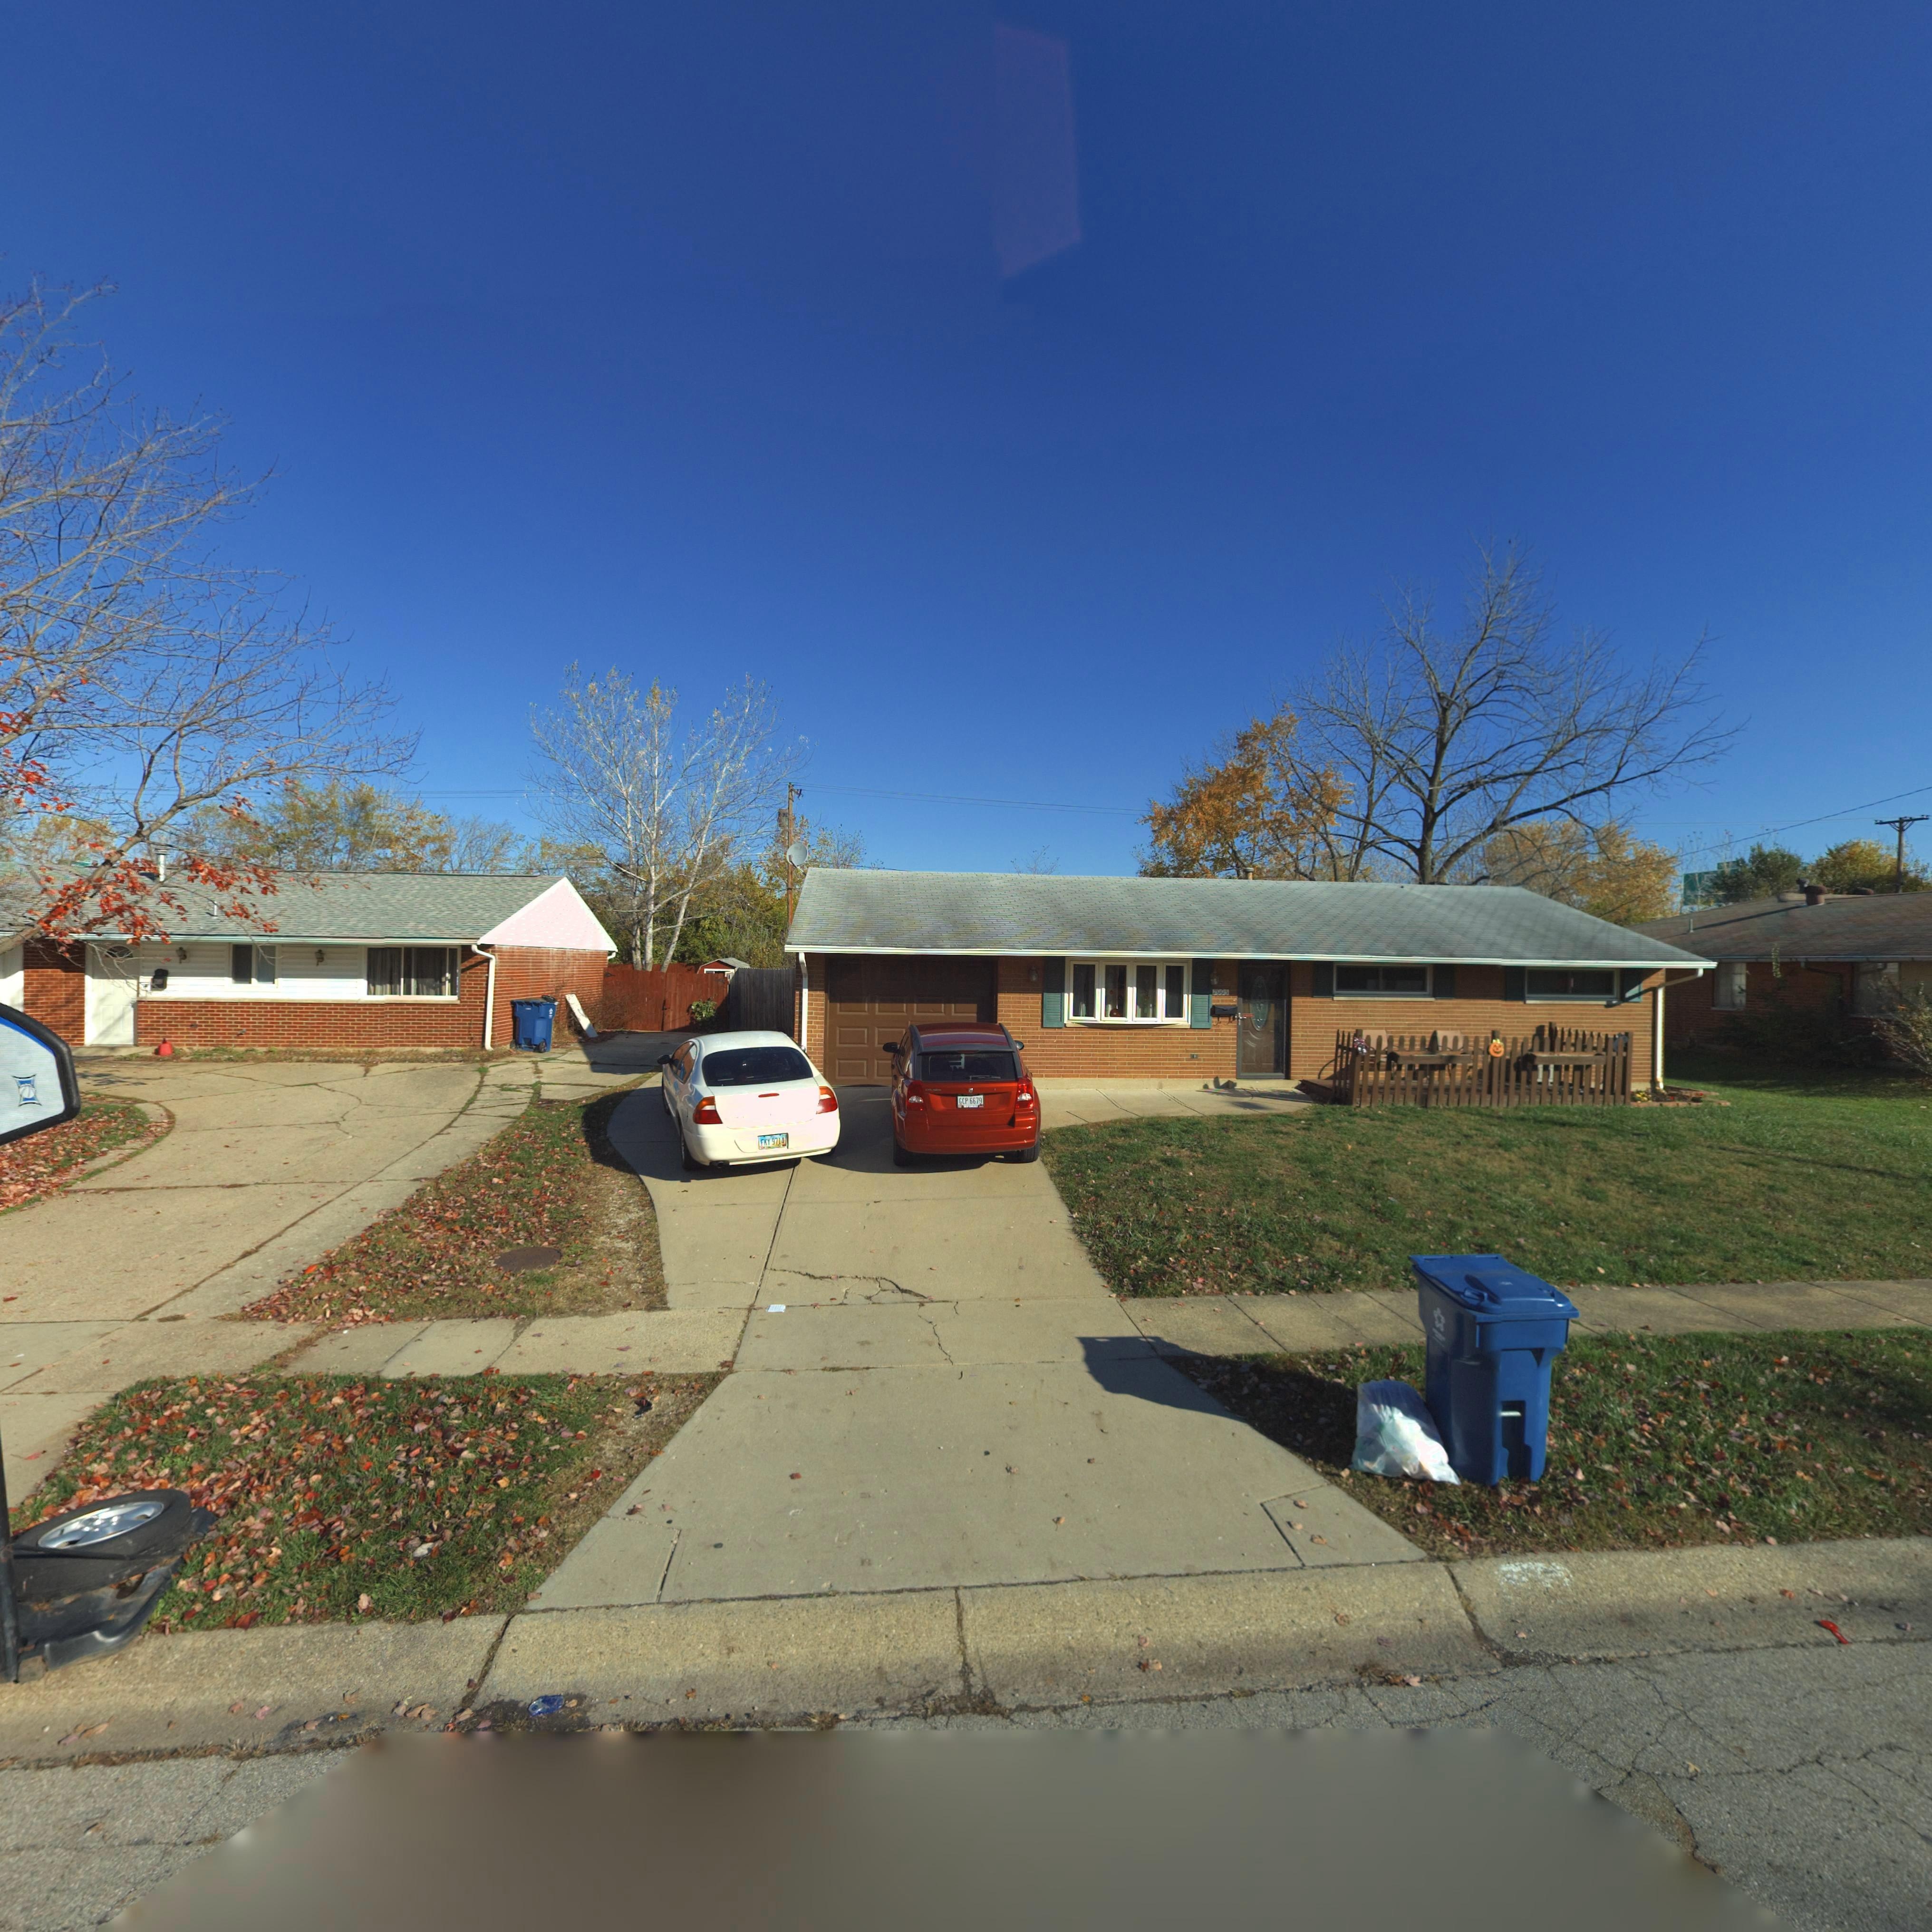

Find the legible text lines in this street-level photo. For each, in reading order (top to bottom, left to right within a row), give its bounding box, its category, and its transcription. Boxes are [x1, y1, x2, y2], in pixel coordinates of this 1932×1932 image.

[1212, 989, 1229, 996] StreetNumber: 7995